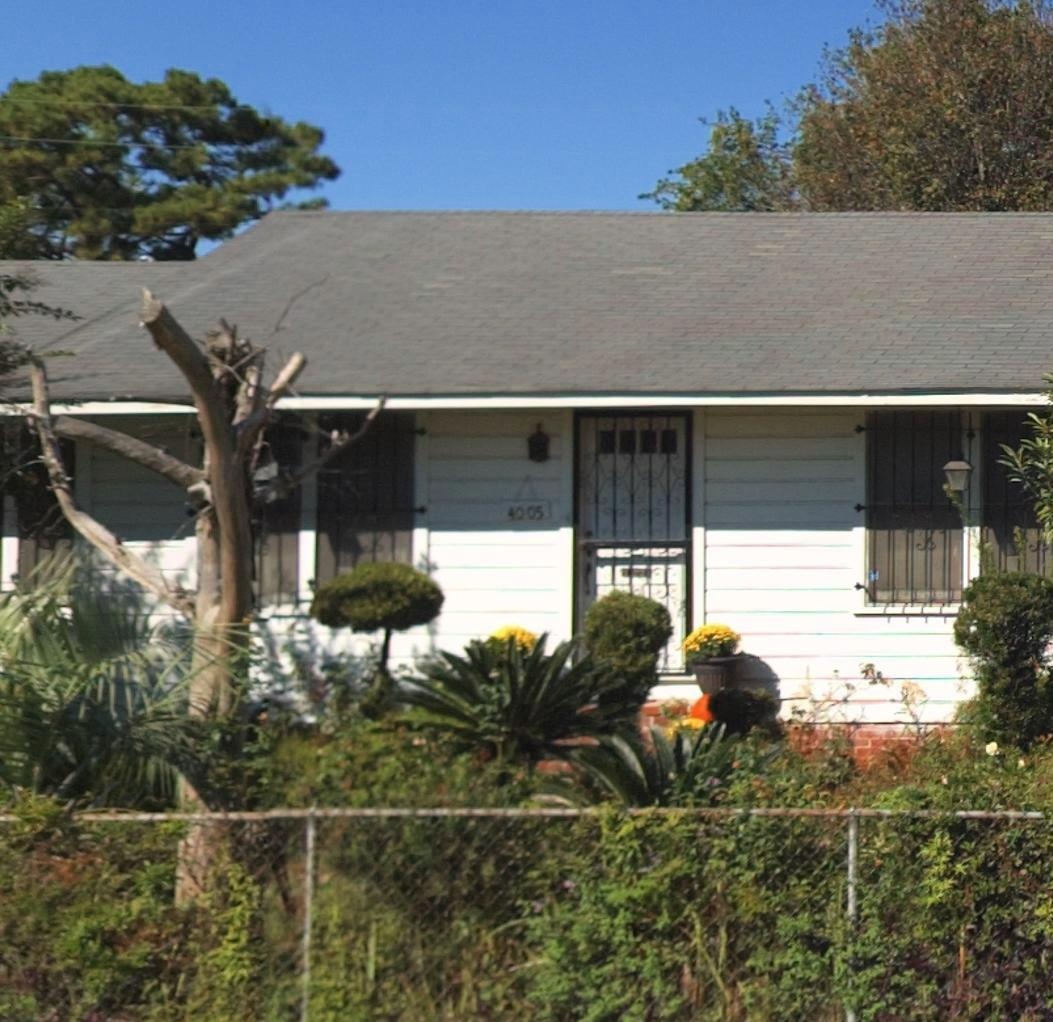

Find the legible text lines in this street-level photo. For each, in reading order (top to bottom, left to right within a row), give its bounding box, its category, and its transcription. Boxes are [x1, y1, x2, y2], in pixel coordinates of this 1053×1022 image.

[505, 504, 545, 522] StreetNumber: 4005